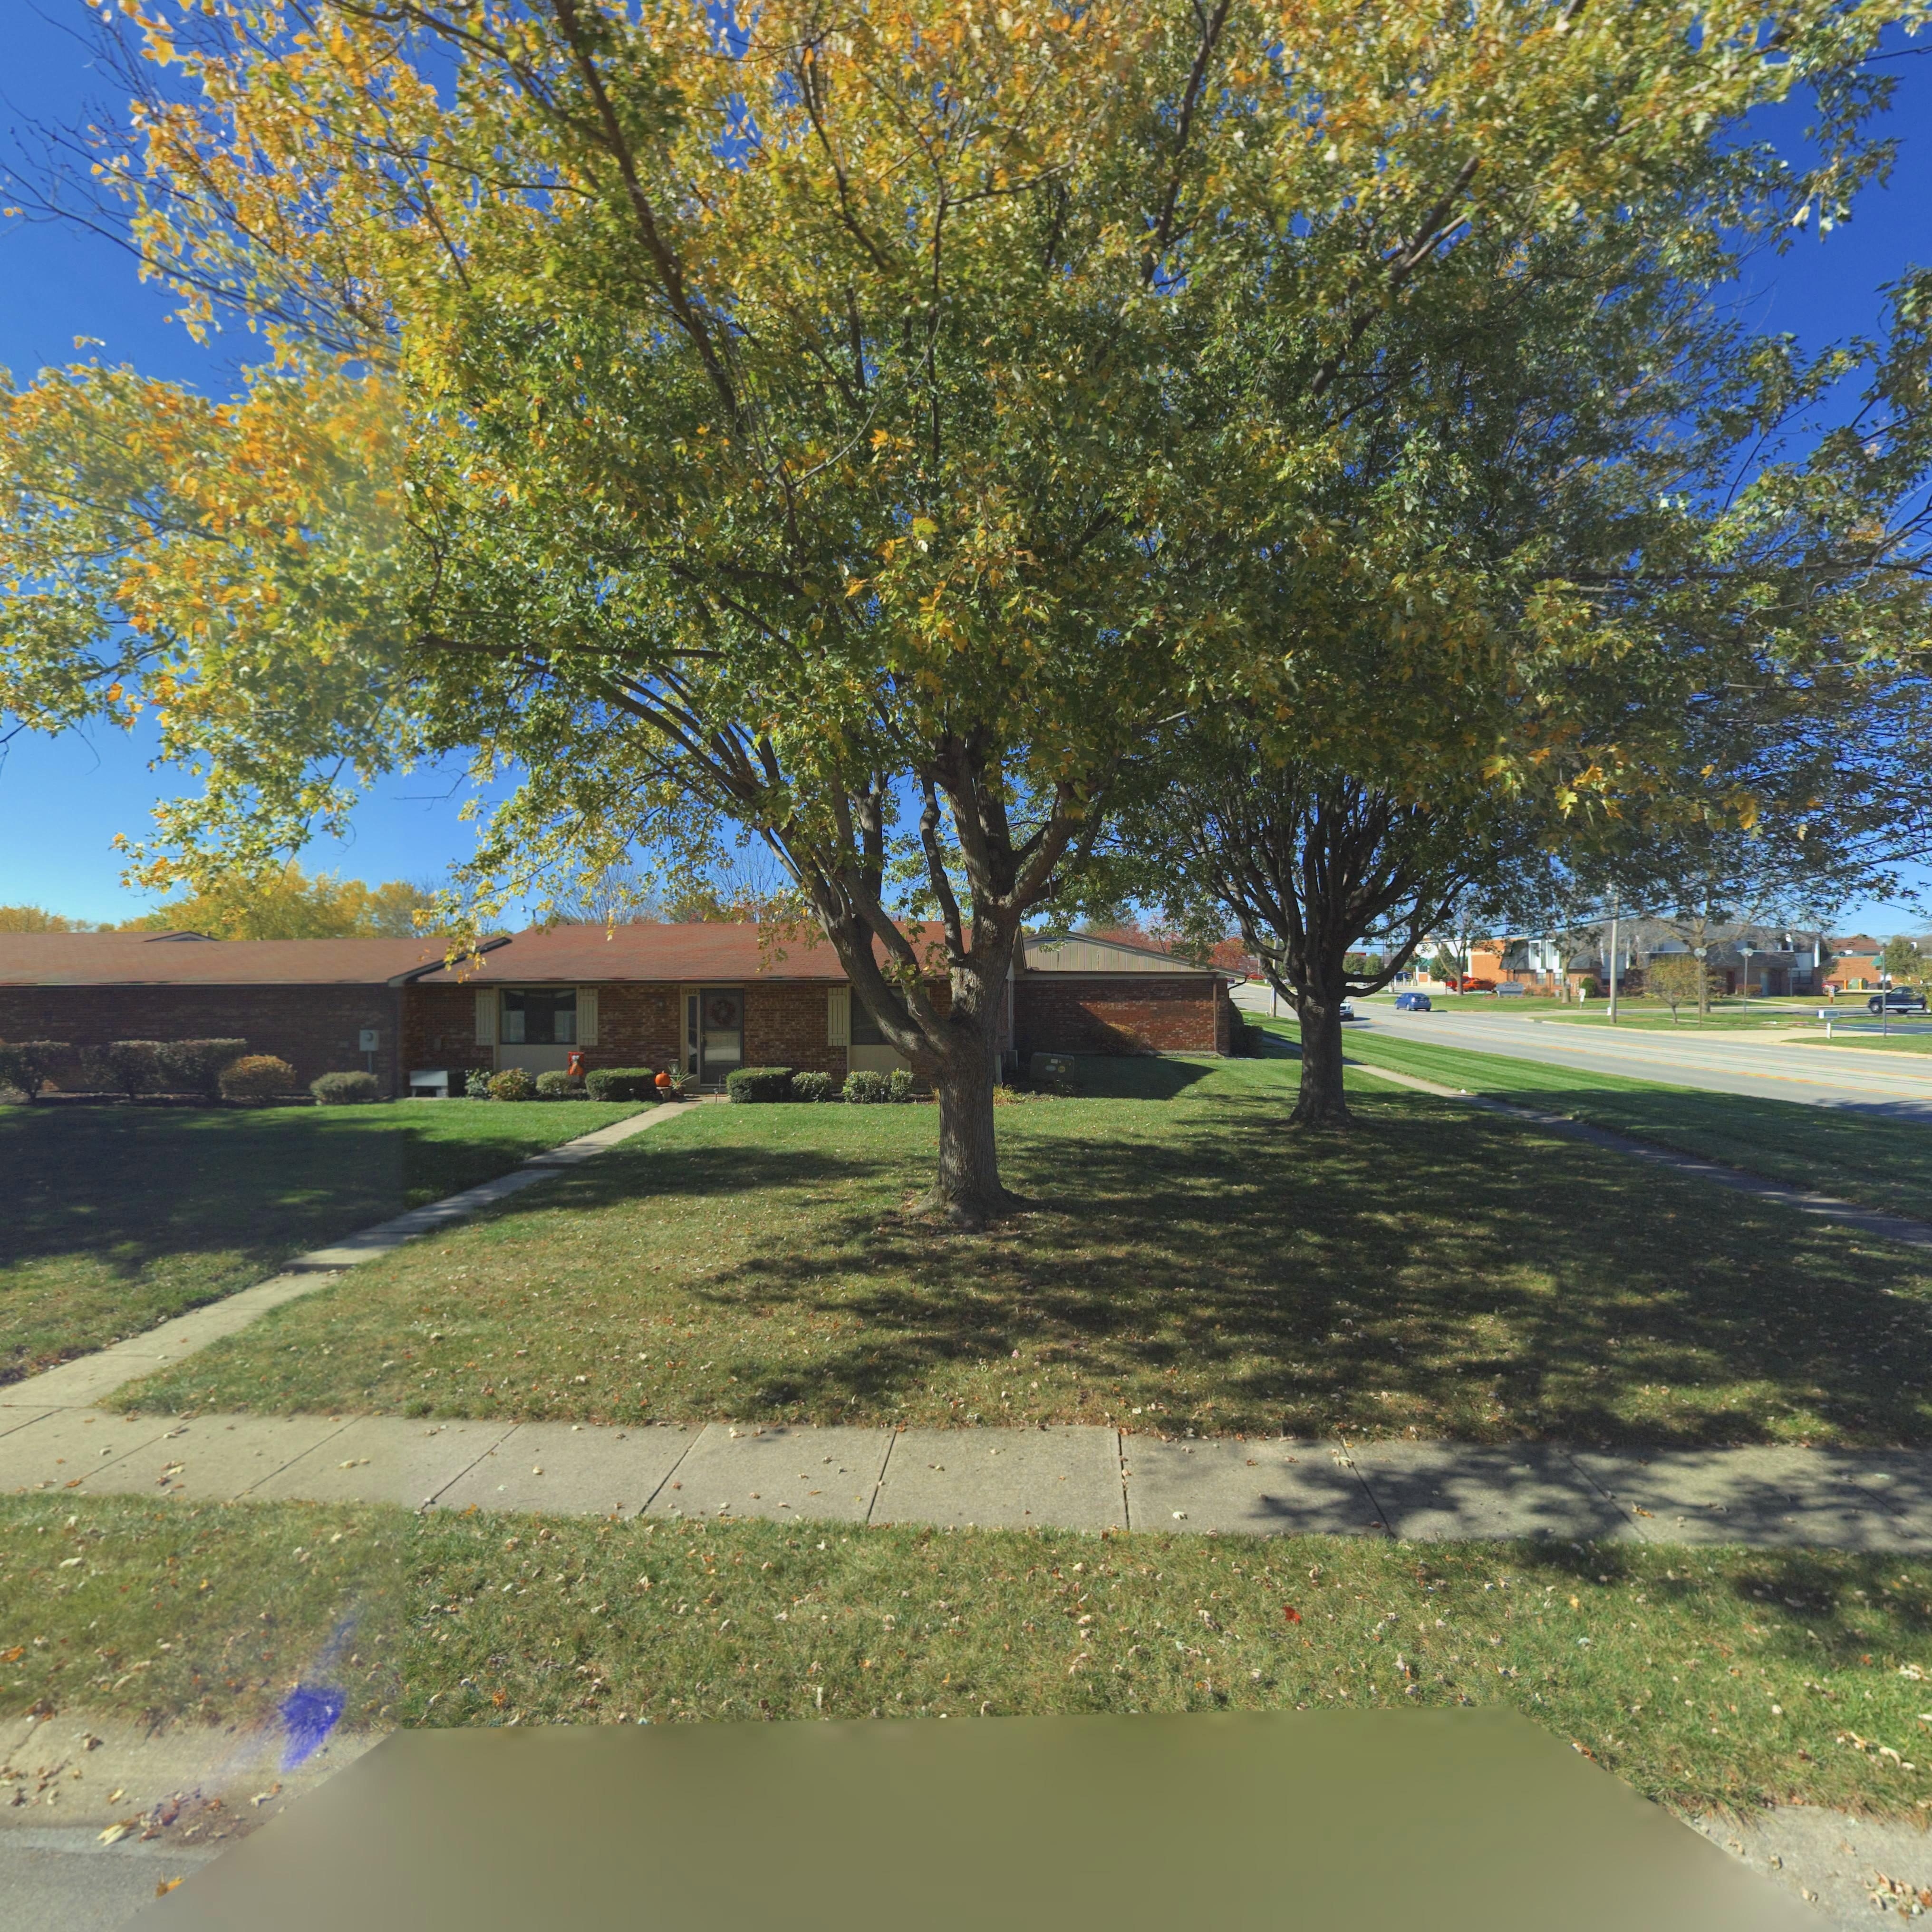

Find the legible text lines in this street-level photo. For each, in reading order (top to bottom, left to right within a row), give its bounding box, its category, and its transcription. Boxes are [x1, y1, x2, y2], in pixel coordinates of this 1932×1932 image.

[684, 988, 698, 995] StreetNumber: 103